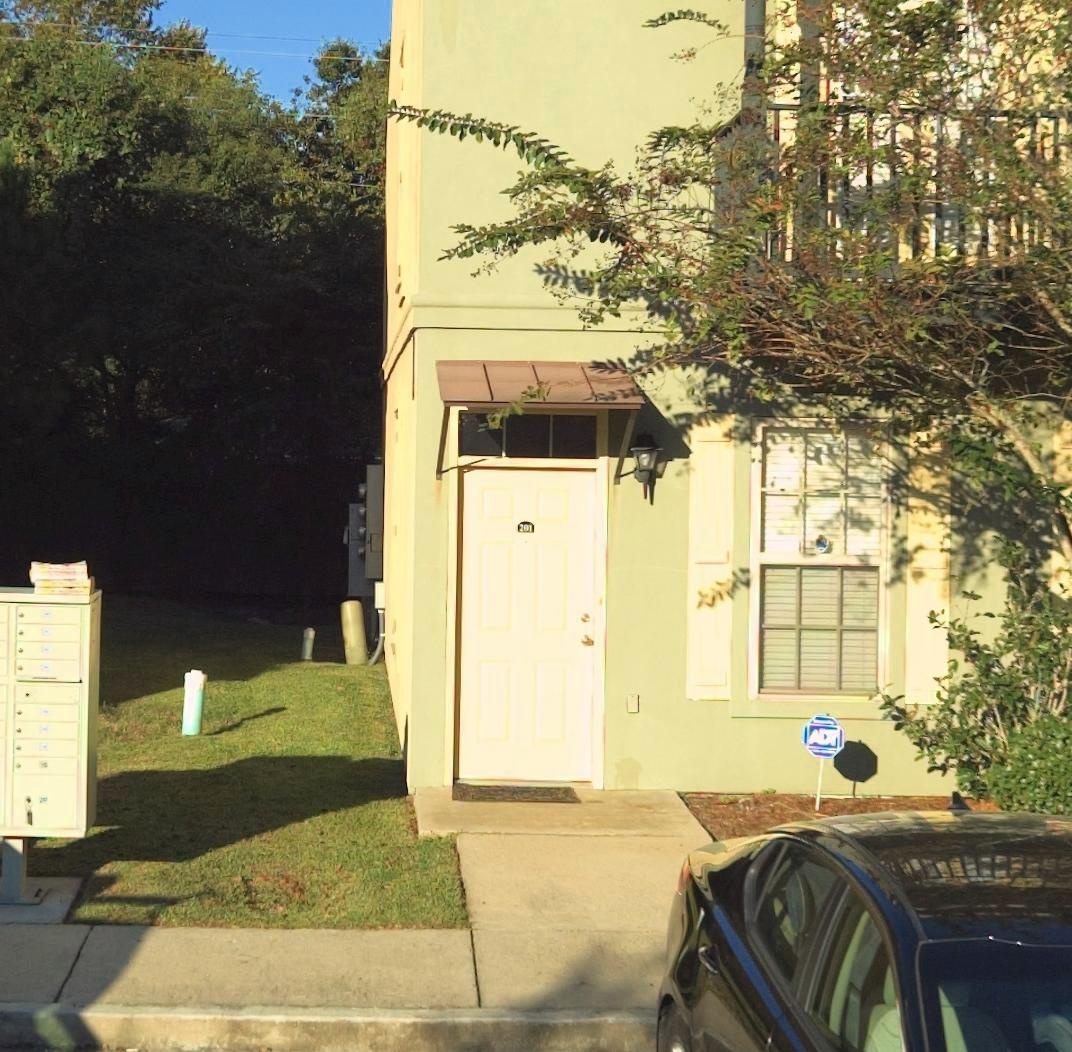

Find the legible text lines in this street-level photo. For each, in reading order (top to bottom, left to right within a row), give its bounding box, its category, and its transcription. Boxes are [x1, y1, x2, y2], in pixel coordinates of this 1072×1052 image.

[517, 522, 534, 534] StreetNumber: 201
[805, 726, 841, 748] None: ADT